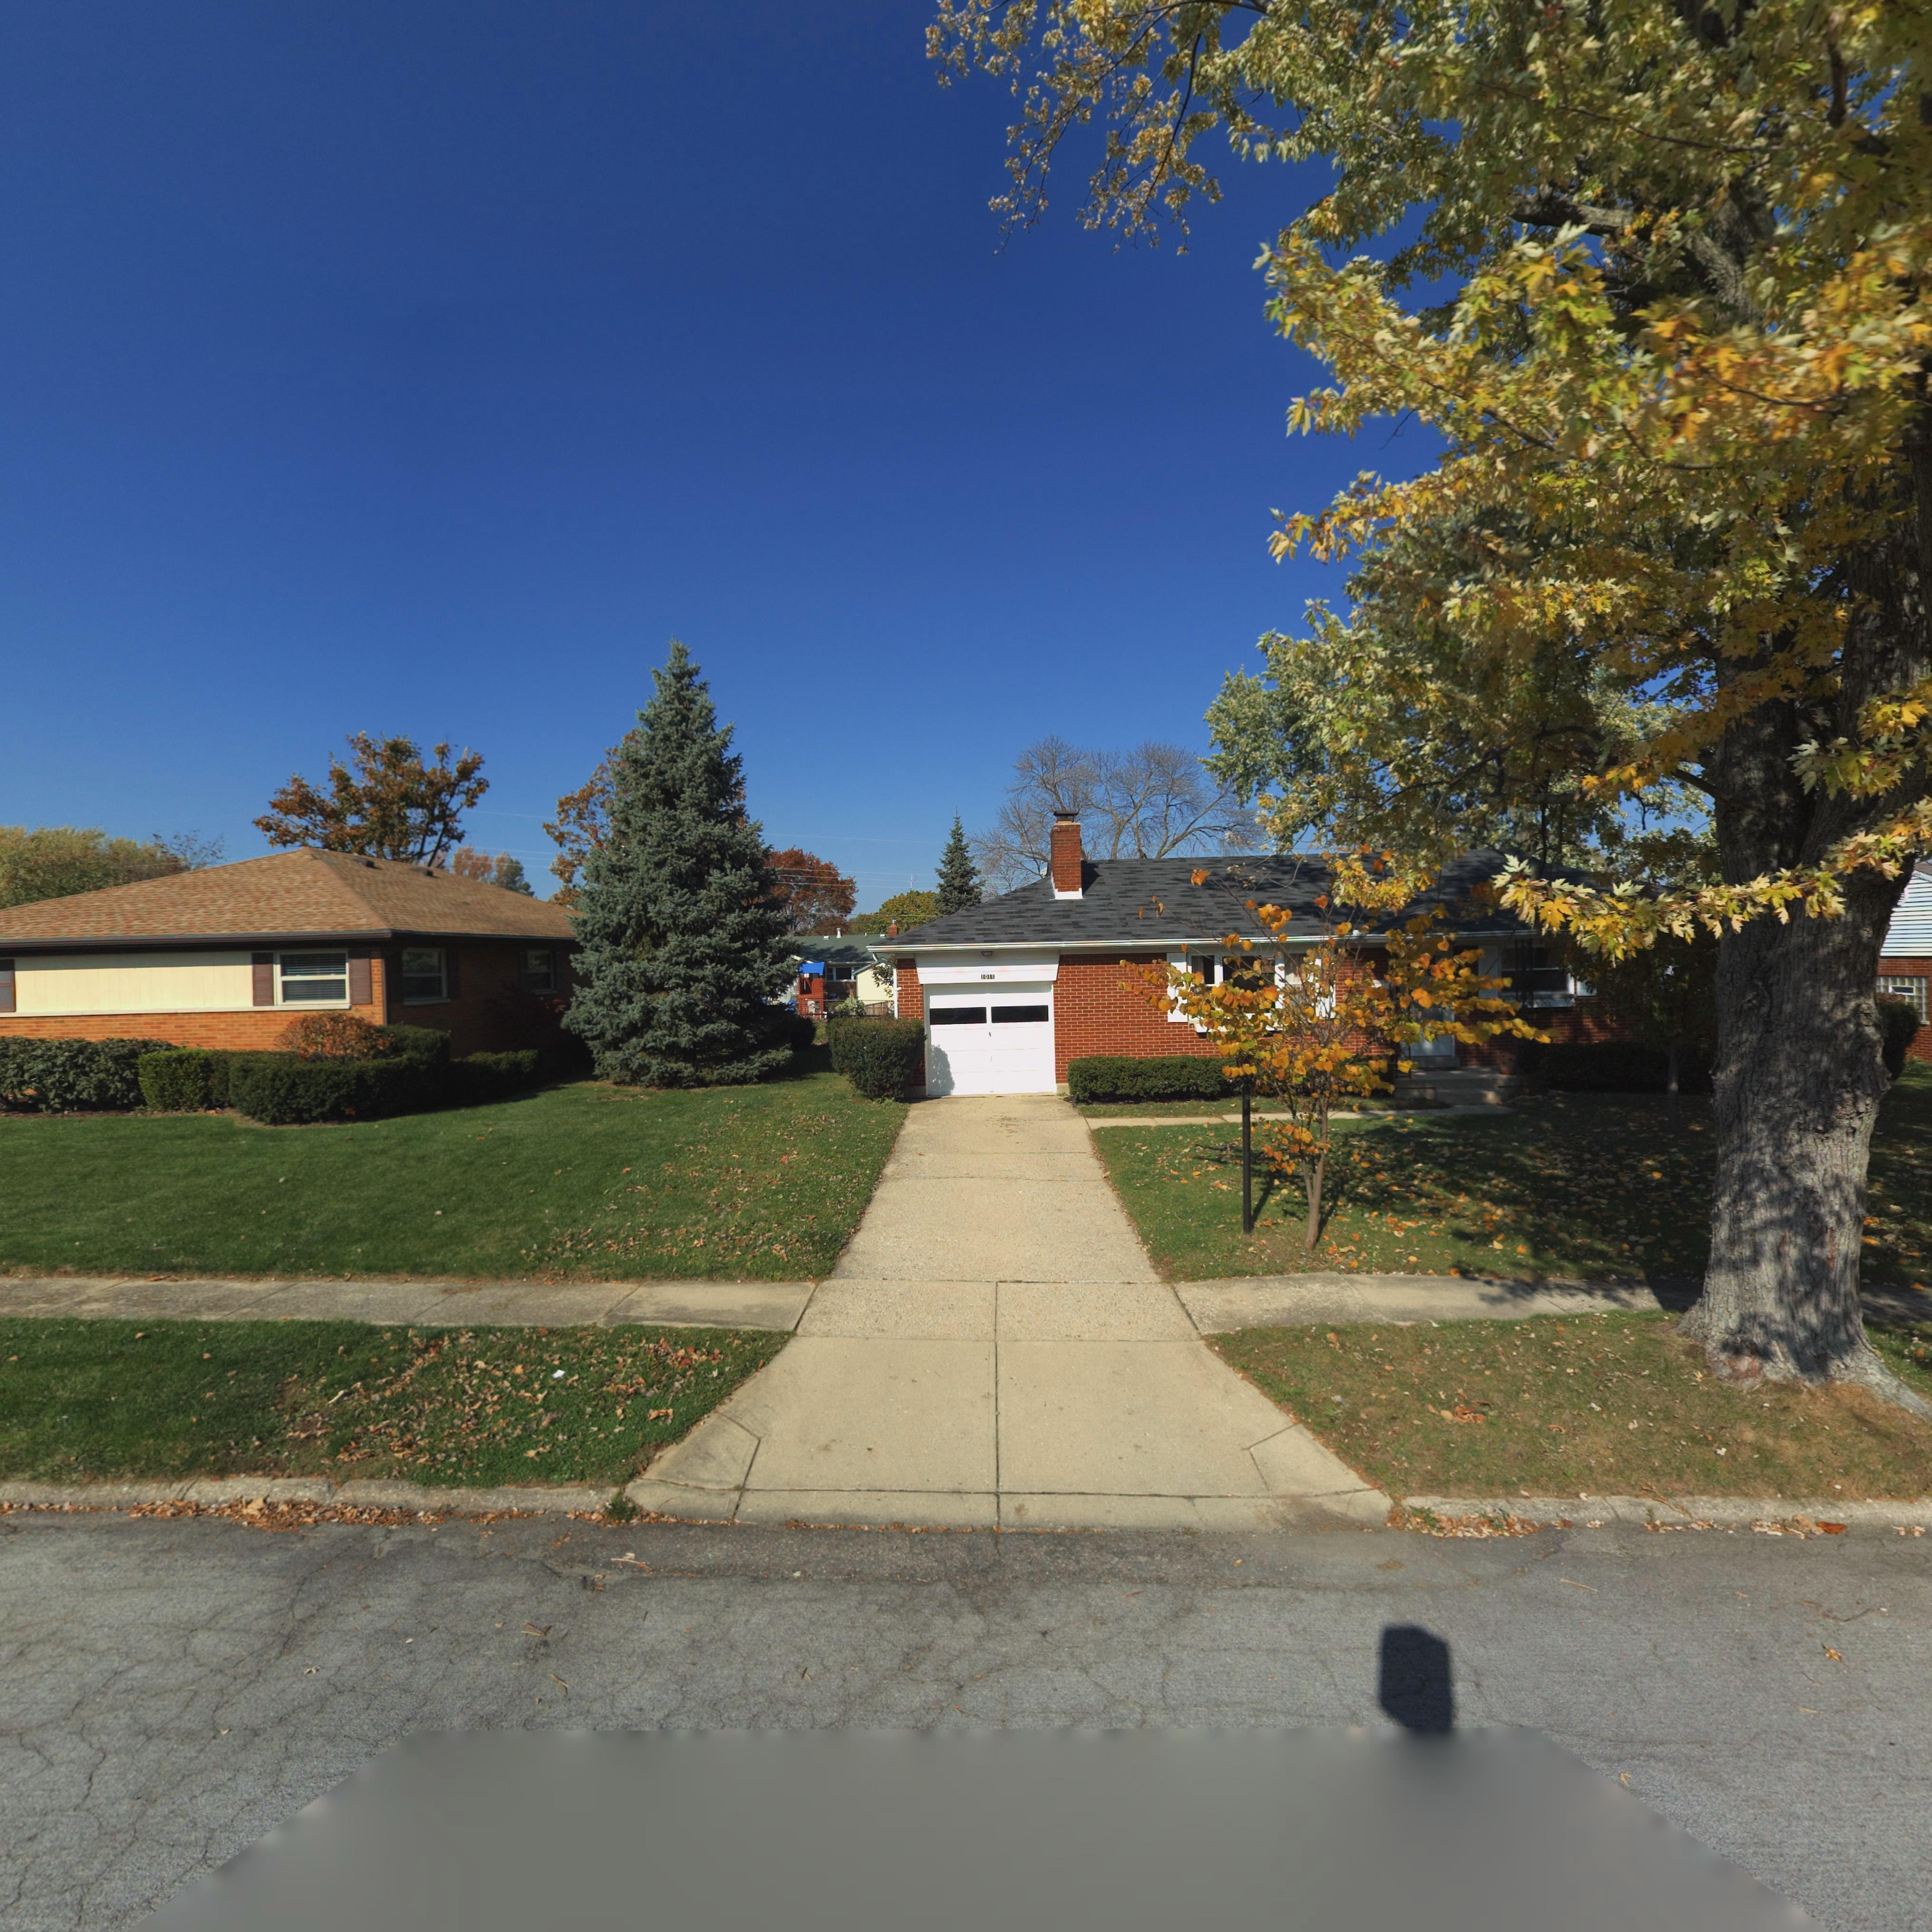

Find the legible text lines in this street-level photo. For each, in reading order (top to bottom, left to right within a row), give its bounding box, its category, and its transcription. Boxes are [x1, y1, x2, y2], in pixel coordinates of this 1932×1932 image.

[981, 974, 995, 980] StreetNumber: 1011